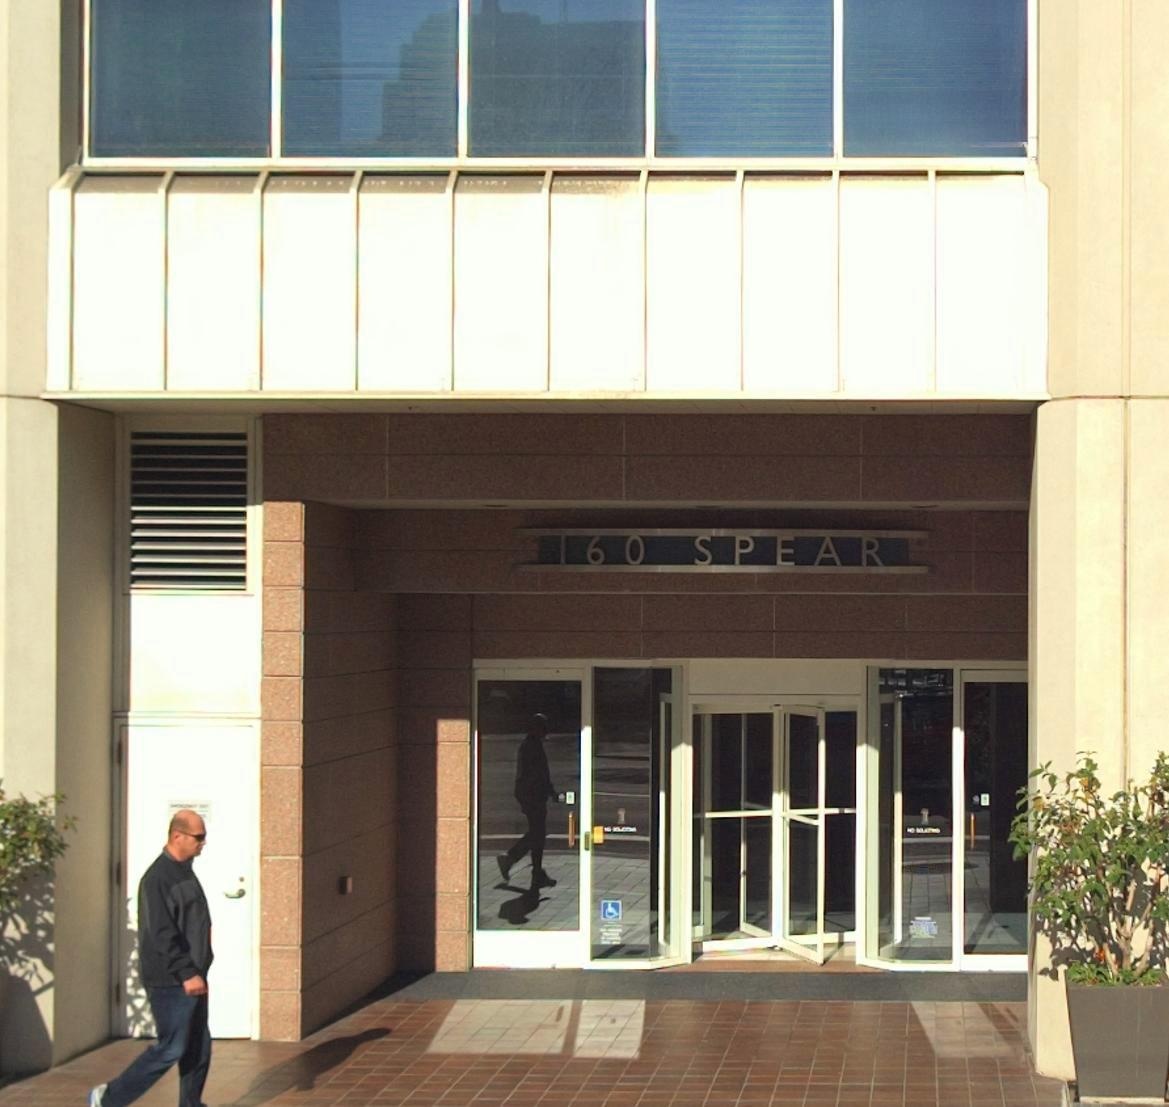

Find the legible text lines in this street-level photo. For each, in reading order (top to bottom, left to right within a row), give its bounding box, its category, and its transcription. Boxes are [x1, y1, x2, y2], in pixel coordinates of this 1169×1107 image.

[555, 534, 646, 566] StreetNumber: 160
[690, 535, 886, 567] StreetName: SPEAR